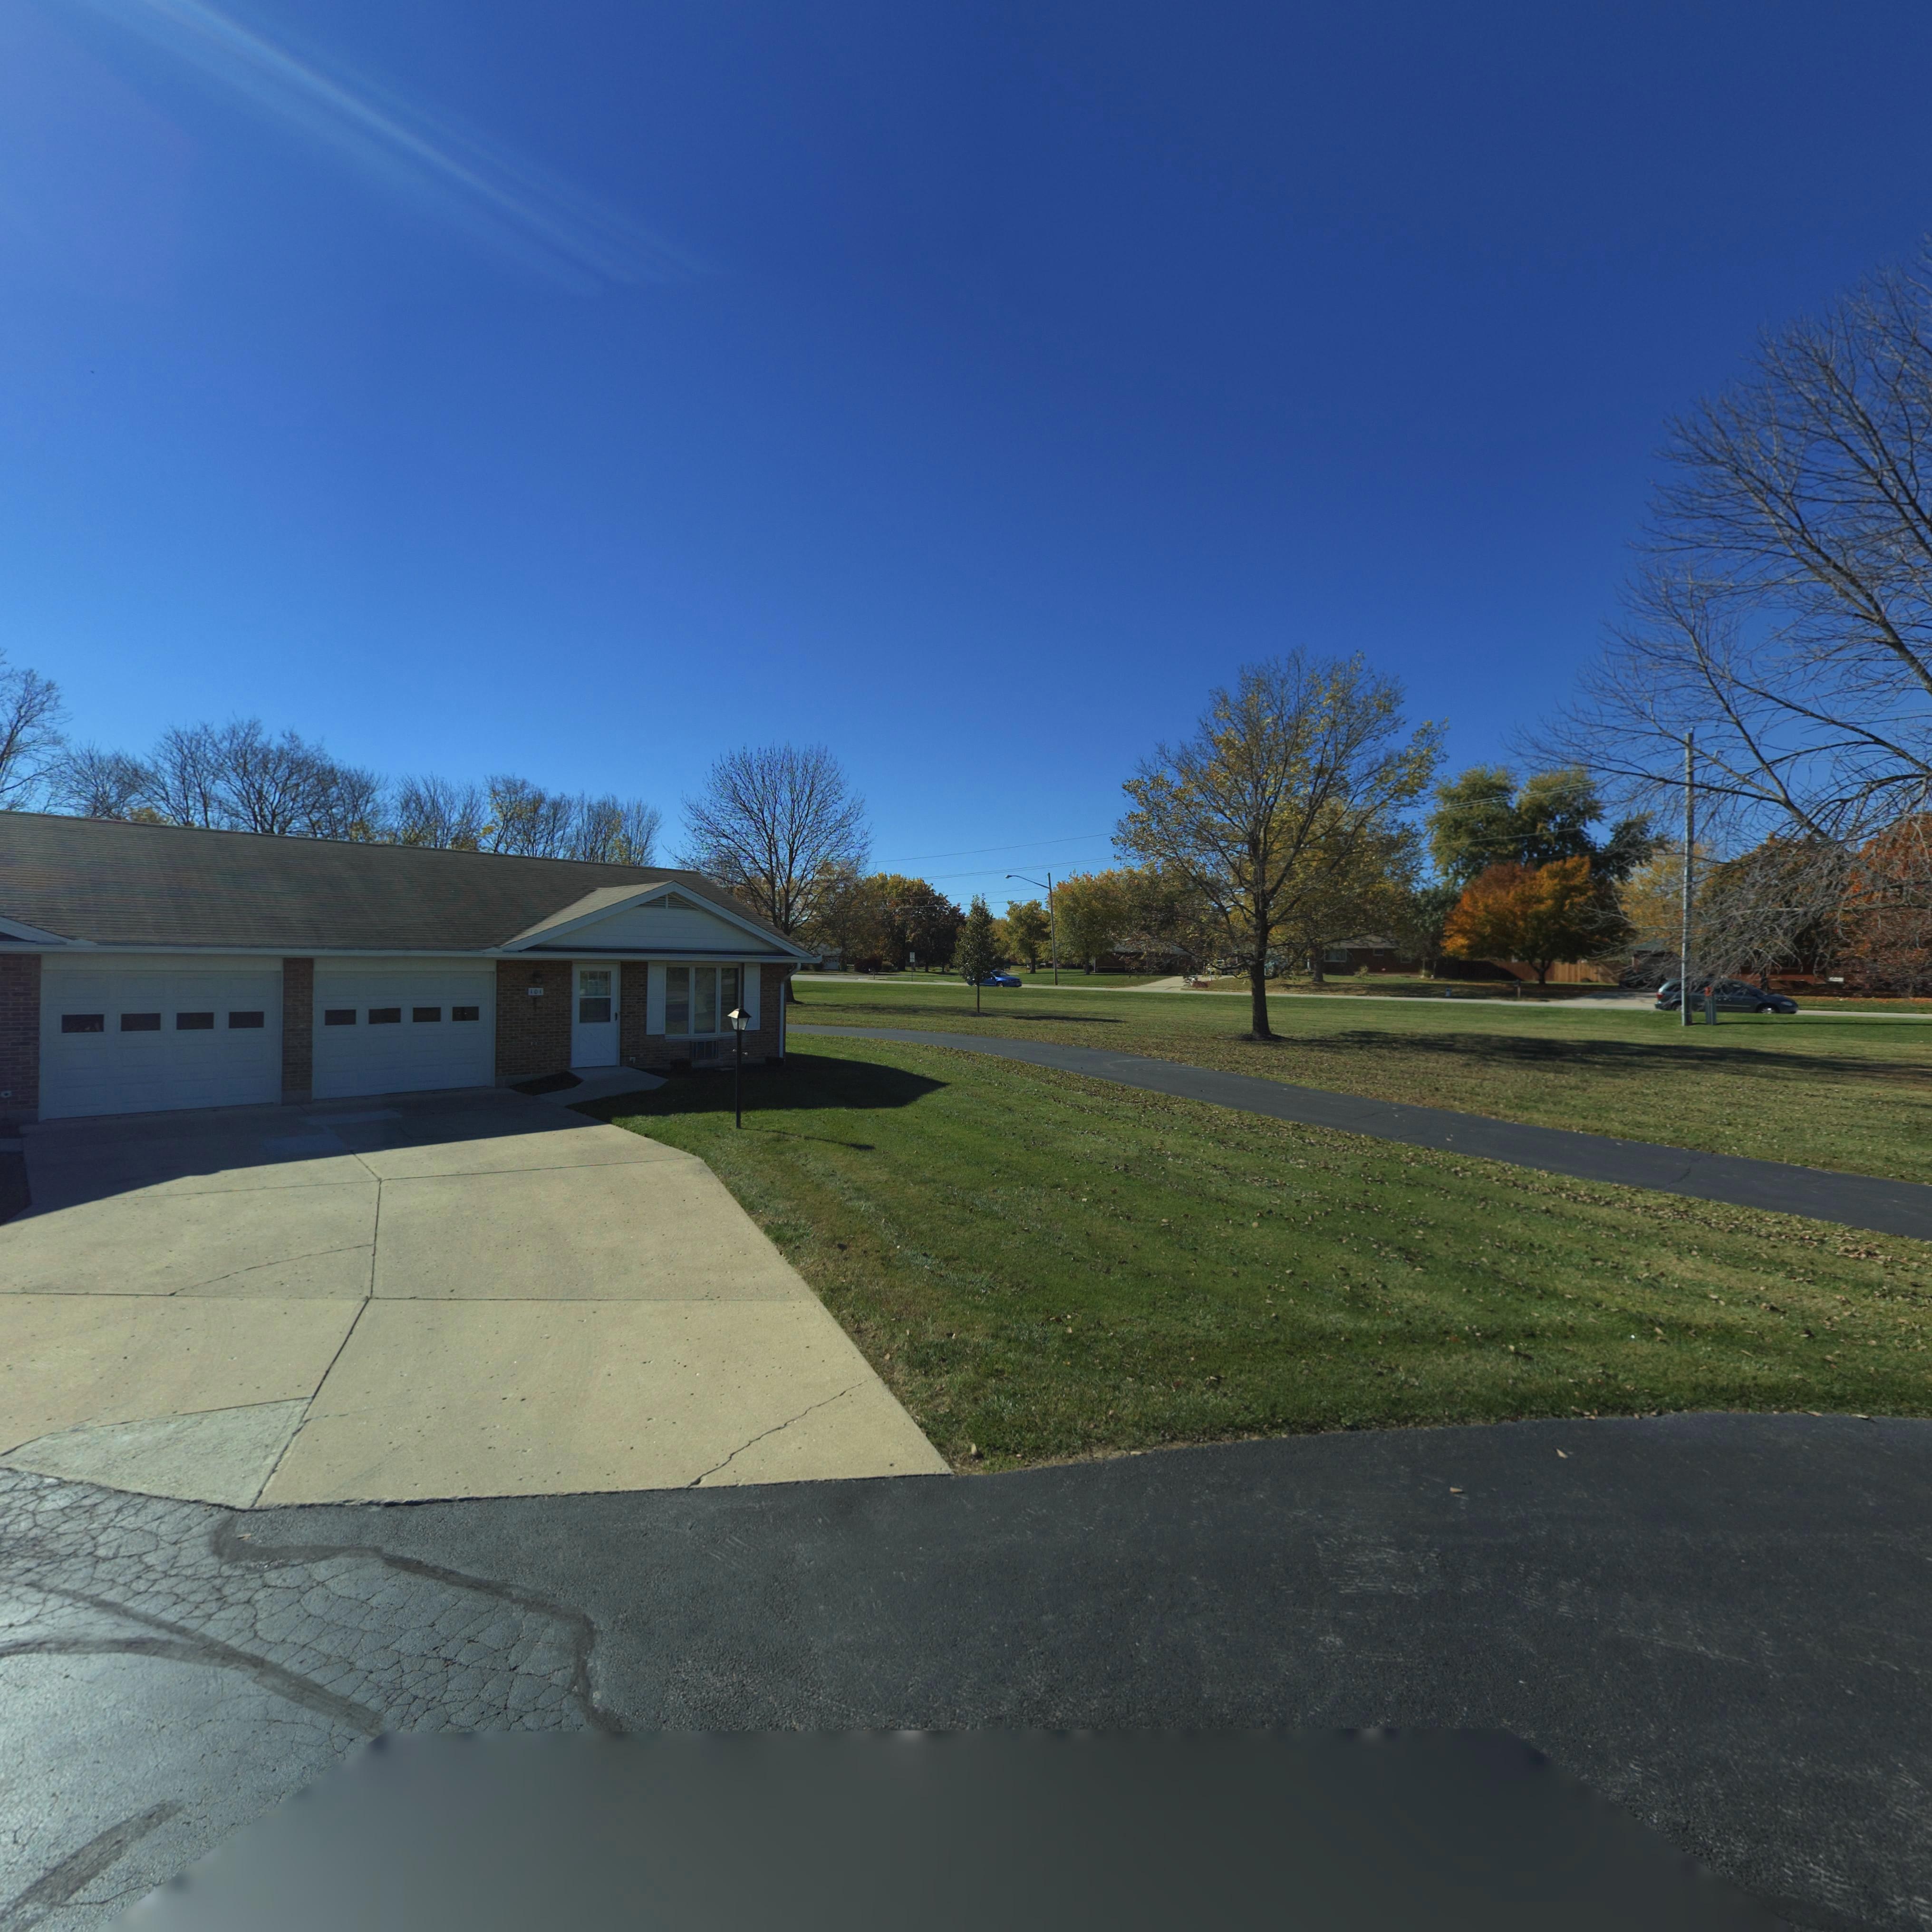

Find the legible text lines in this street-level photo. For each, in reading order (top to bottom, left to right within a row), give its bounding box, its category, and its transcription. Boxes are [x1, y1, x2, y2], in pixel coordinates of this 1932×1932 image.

[530, 988, 542, 995] StreetNumber: 101